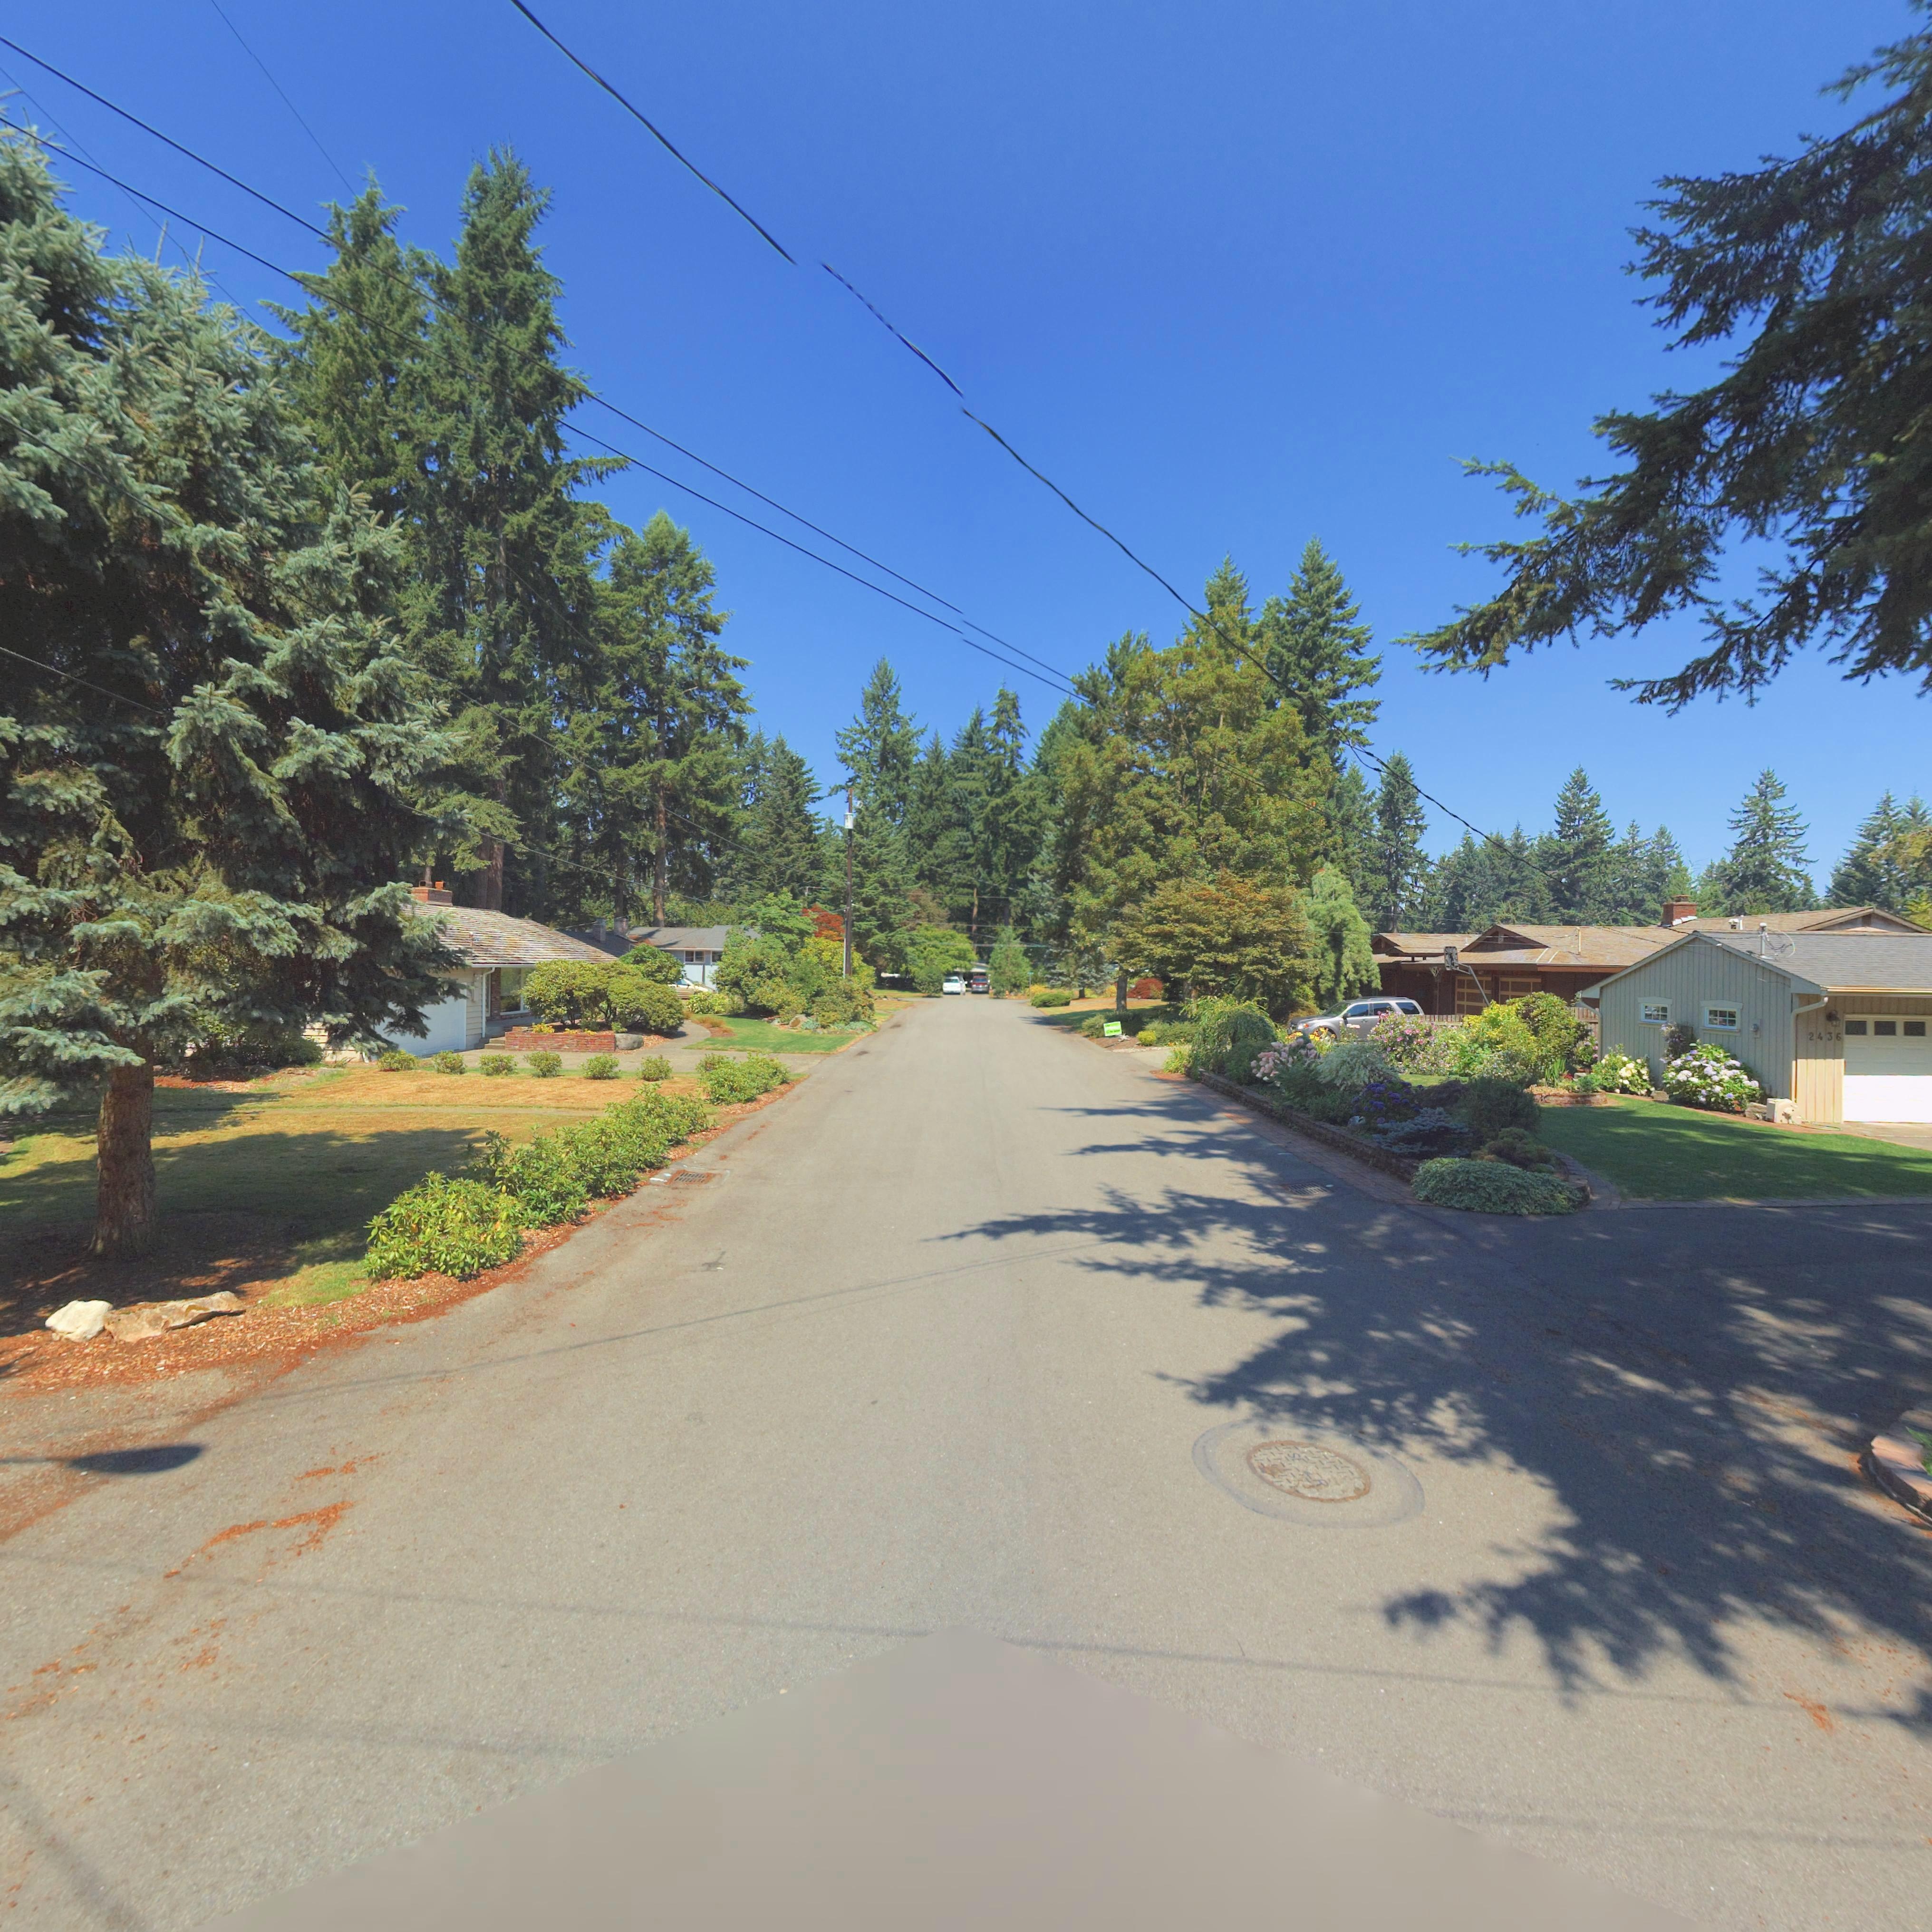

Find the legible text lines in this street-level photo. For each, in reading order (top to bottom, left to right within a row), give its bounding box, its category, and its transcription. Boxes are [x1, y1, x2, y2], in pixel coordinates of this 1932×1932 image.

[1809, 1032, 1841, 1040] StreetNumber: 2436